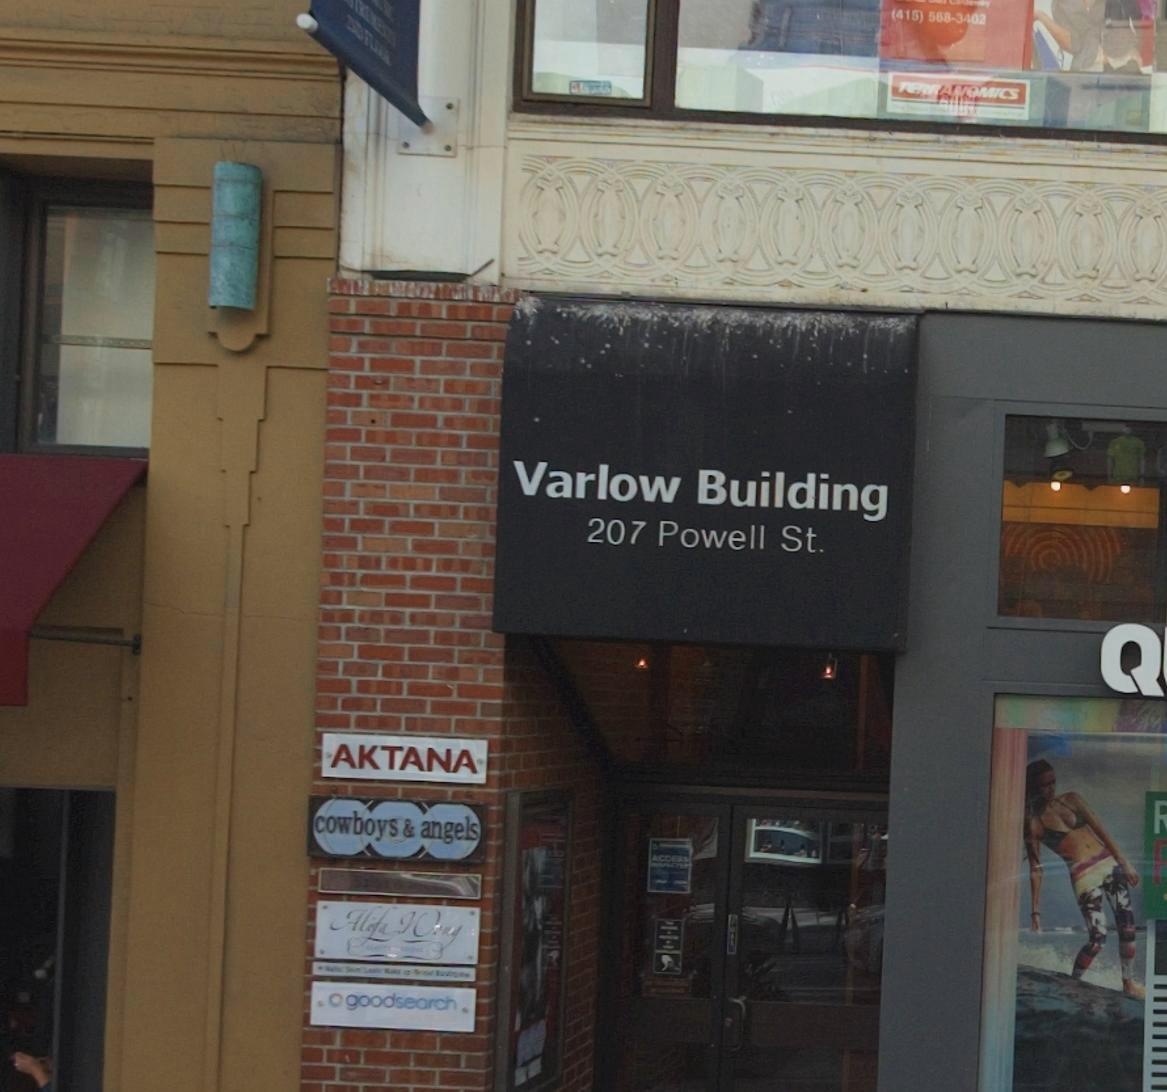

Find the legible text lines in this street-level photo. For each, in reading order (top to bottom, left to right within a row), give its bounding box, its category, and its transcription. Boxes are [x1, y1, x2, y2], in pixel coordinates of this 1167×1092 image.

[892, 7, 989, 27] None: (415) 588-3402
[895, 80, 1020, 101] None: T*RRANOMICS
[511, 458, 889, 522] None: Varlow Building
[584, 516, 652, 547] StreetNumber: 207
[658, 519, 823, 554] StreetName: Powell St.
[1099, 620, 1165, 698] None: Q
[328, 742, 483, 776] None: AKTANA
[315, 810, 480, 845] None: cowboys & angels
[650, 854, 678, 863] None: ACCE
[327, 906, 464, 951] None: Alifa W***
[344, 990, 459, 1013] None: goodsearch